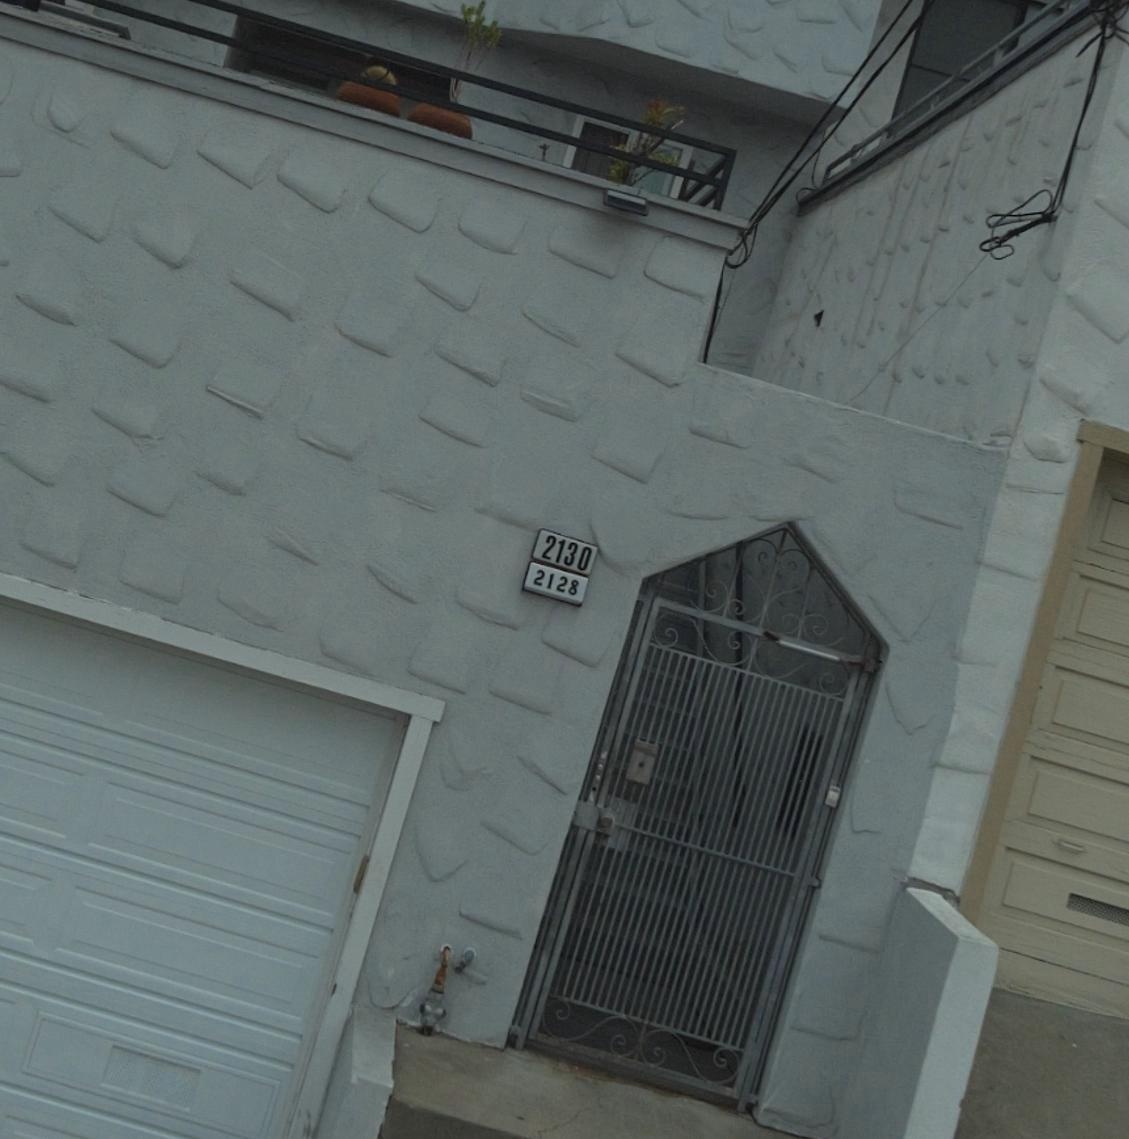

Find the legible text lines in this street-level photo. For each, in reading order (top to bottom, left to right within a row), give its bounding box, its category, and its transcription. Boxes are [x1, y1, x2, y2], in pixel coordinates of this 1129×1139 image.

[539, 532, 595, 574] StreetNumber: 2130
[530, 567, 582, 598] StreetNumber: 2128